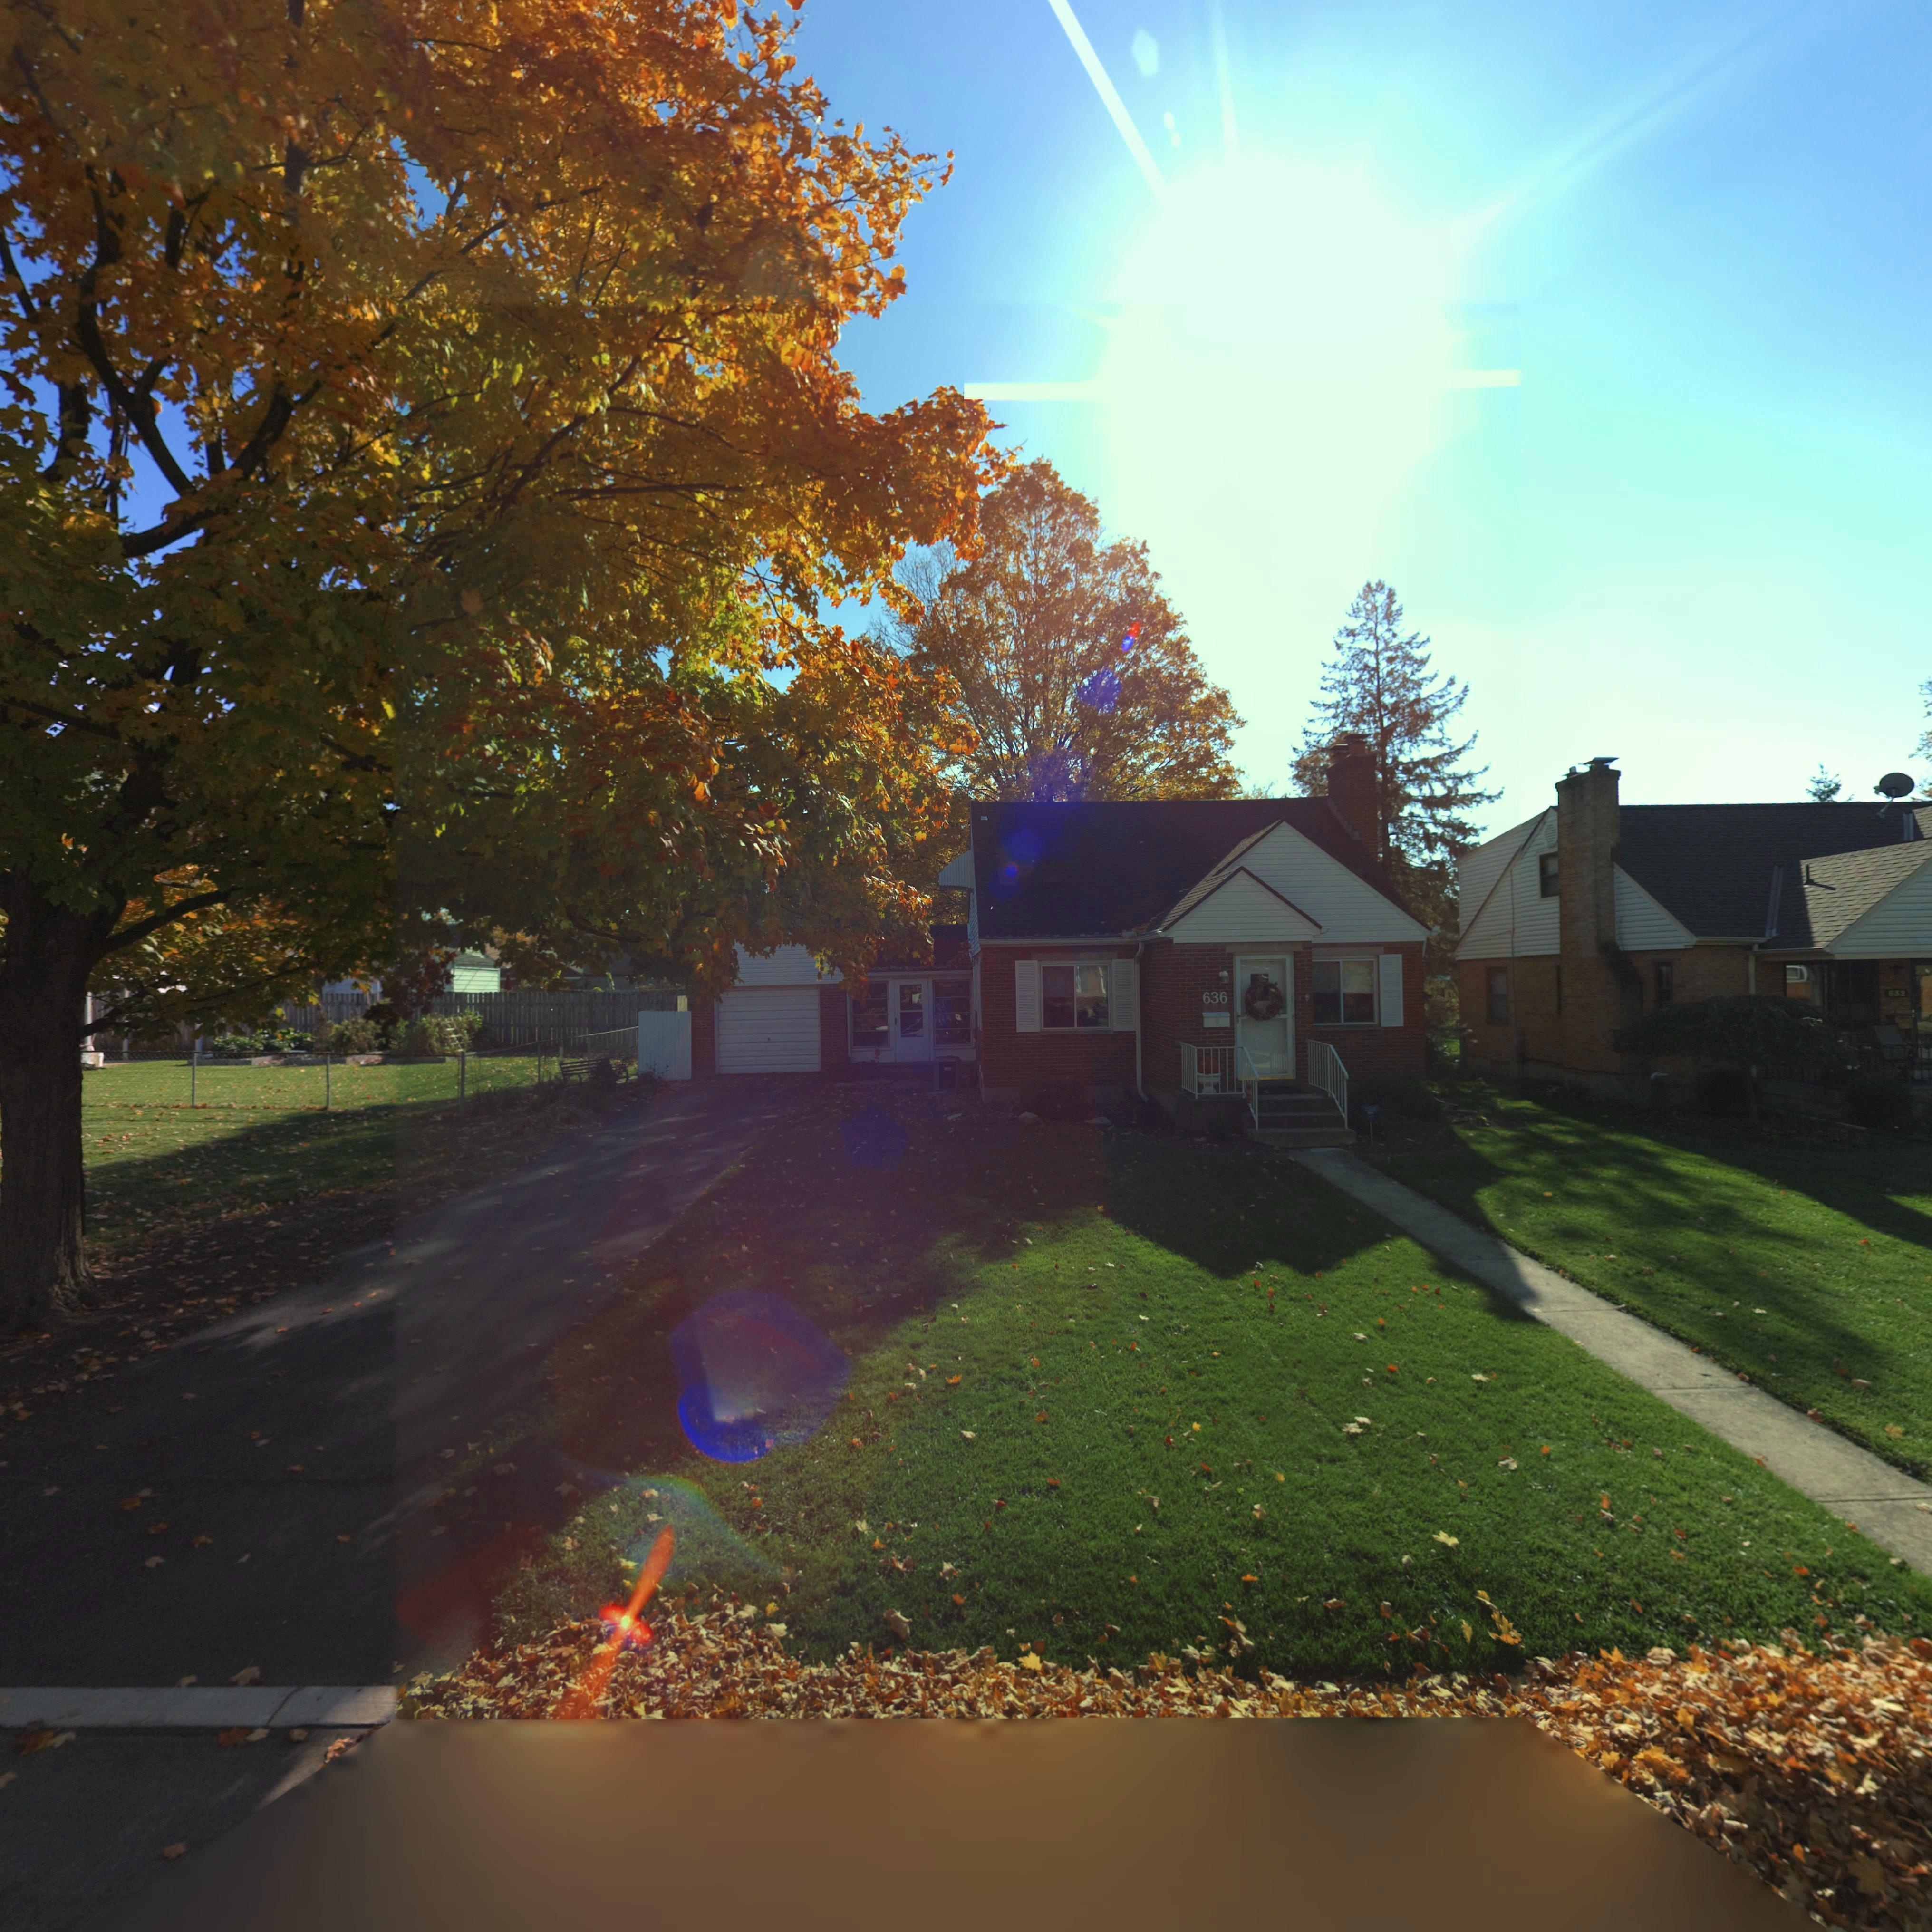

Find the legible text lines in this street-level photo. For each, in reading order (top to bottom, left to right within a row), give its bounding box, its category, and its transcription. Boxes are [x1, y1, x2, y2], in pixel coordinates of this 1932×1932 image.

[1202, 992, 1228, 1005] StreetNumber: 636
[1888, 989, 1906, 997] StreetNumber: 632